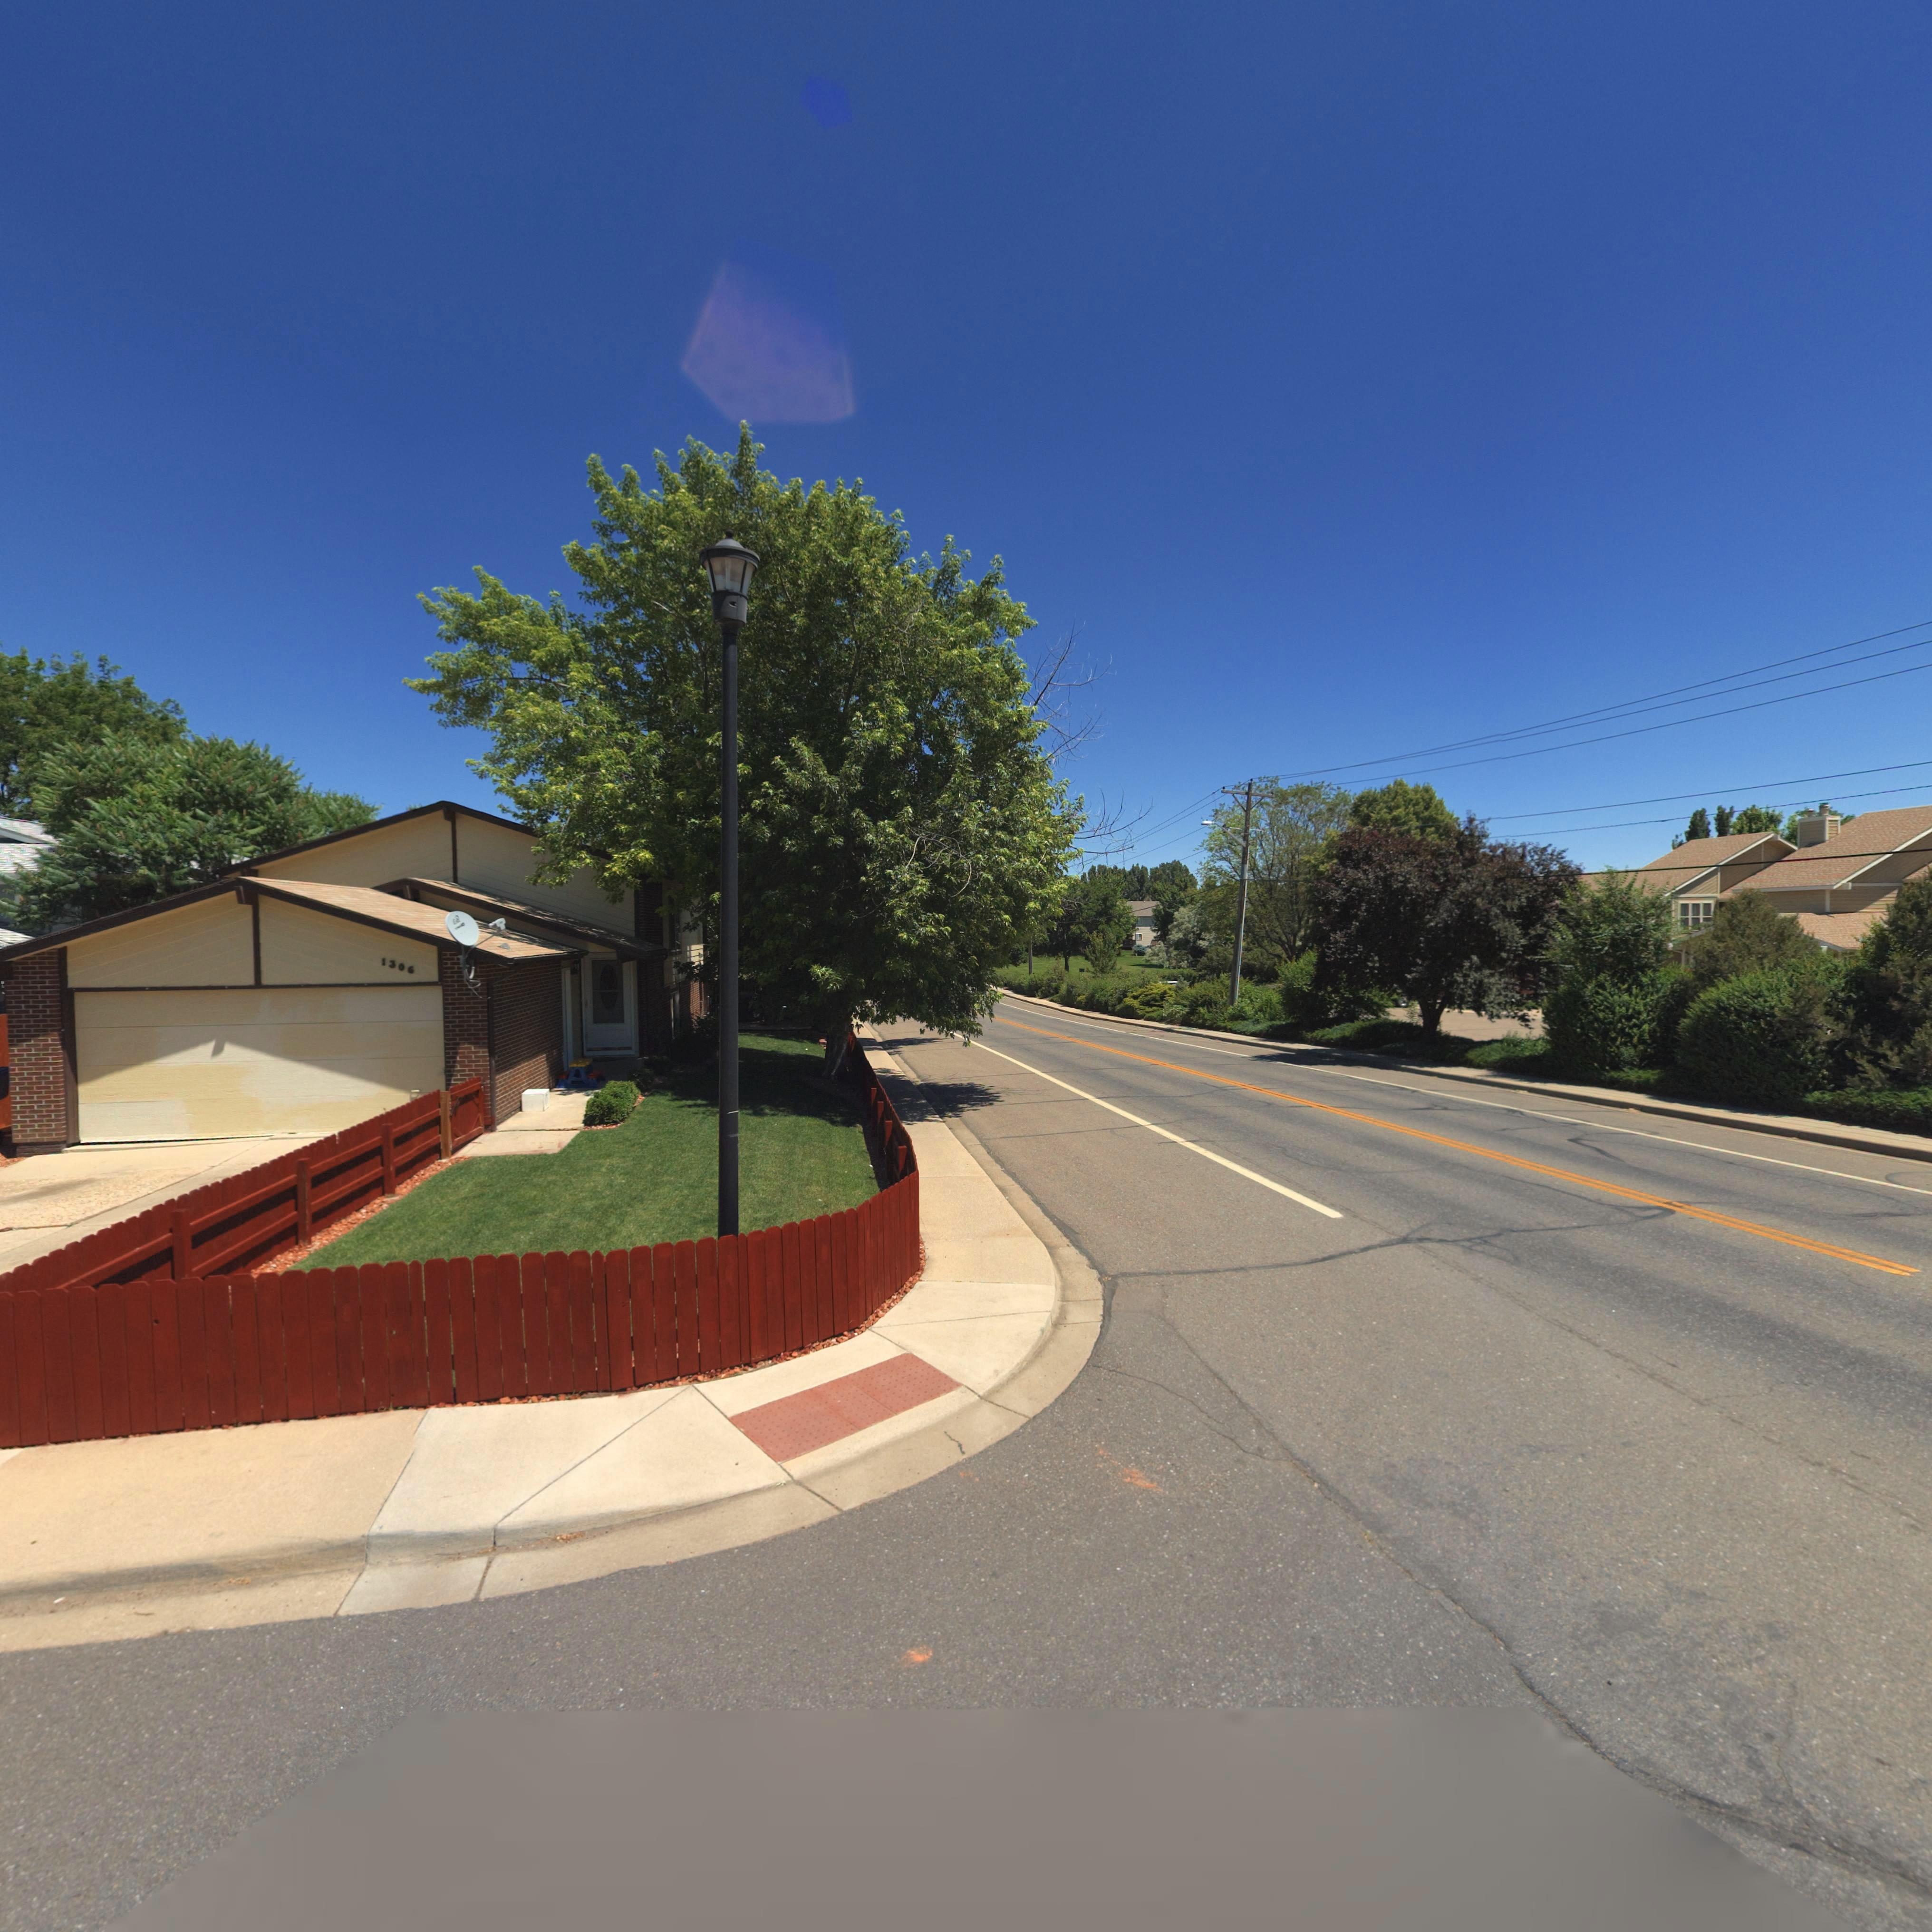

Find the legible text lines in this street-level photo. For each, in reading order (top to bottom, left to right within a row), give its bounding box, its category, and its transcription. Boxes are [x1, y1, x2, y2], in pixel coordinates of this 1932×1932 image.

[381, 957, 414, 975] StreetNumber: 1306